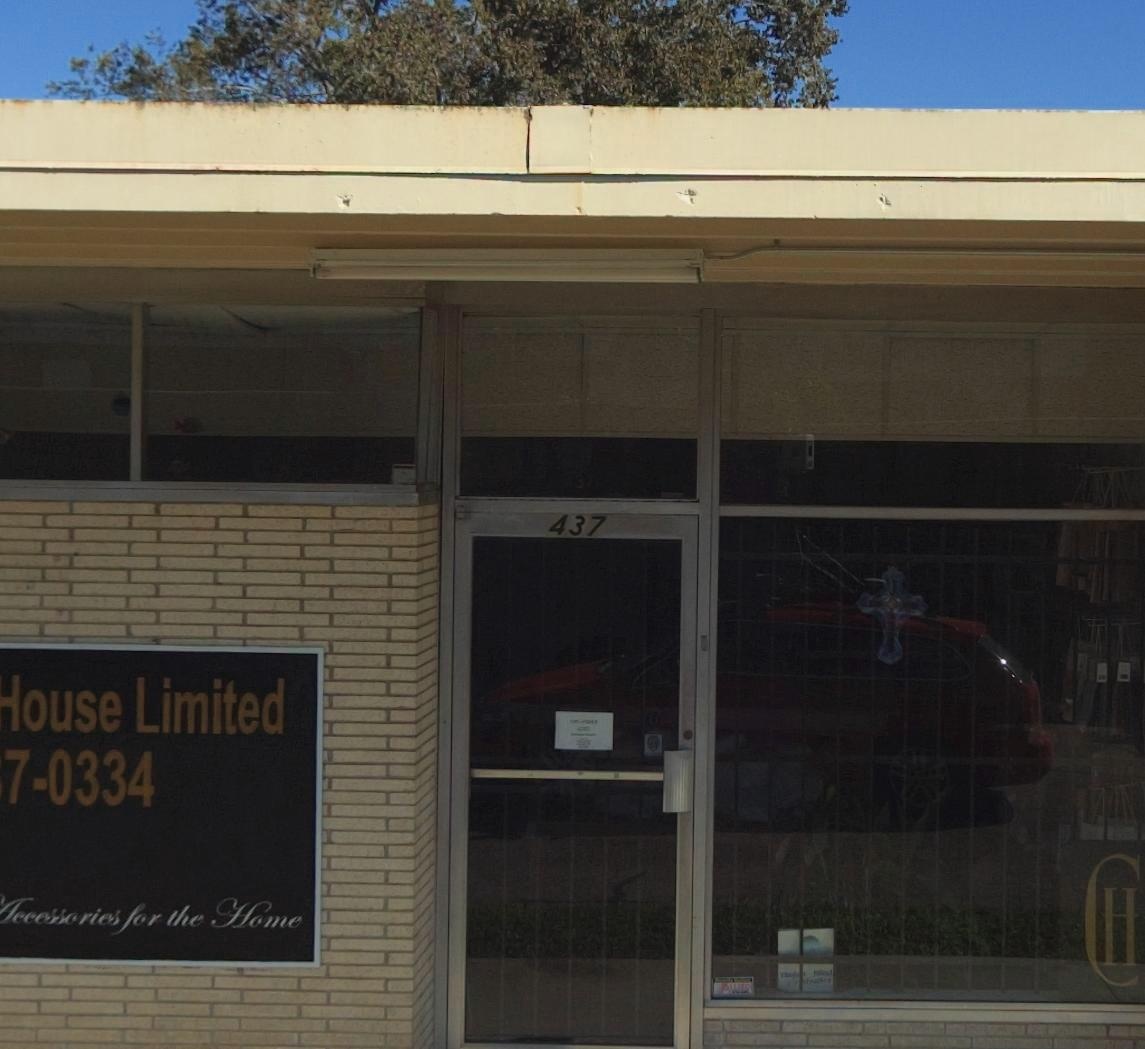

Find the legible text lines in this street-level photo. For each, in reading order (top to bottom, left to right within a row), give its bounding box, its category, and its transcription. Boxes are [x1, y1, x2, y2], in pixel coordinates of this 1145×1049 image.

[546, 512, 608, 539] StreetNumber: 437
[19, 672, 289, 739] None: ouse Limited
[1, 744, 159, 812] None: 7-0334
[8, 894, 308, 941] None: ccessories for the Home
[1080, 849, 1143, 991] None: C
[1100, 883, 1142, 969] None: H